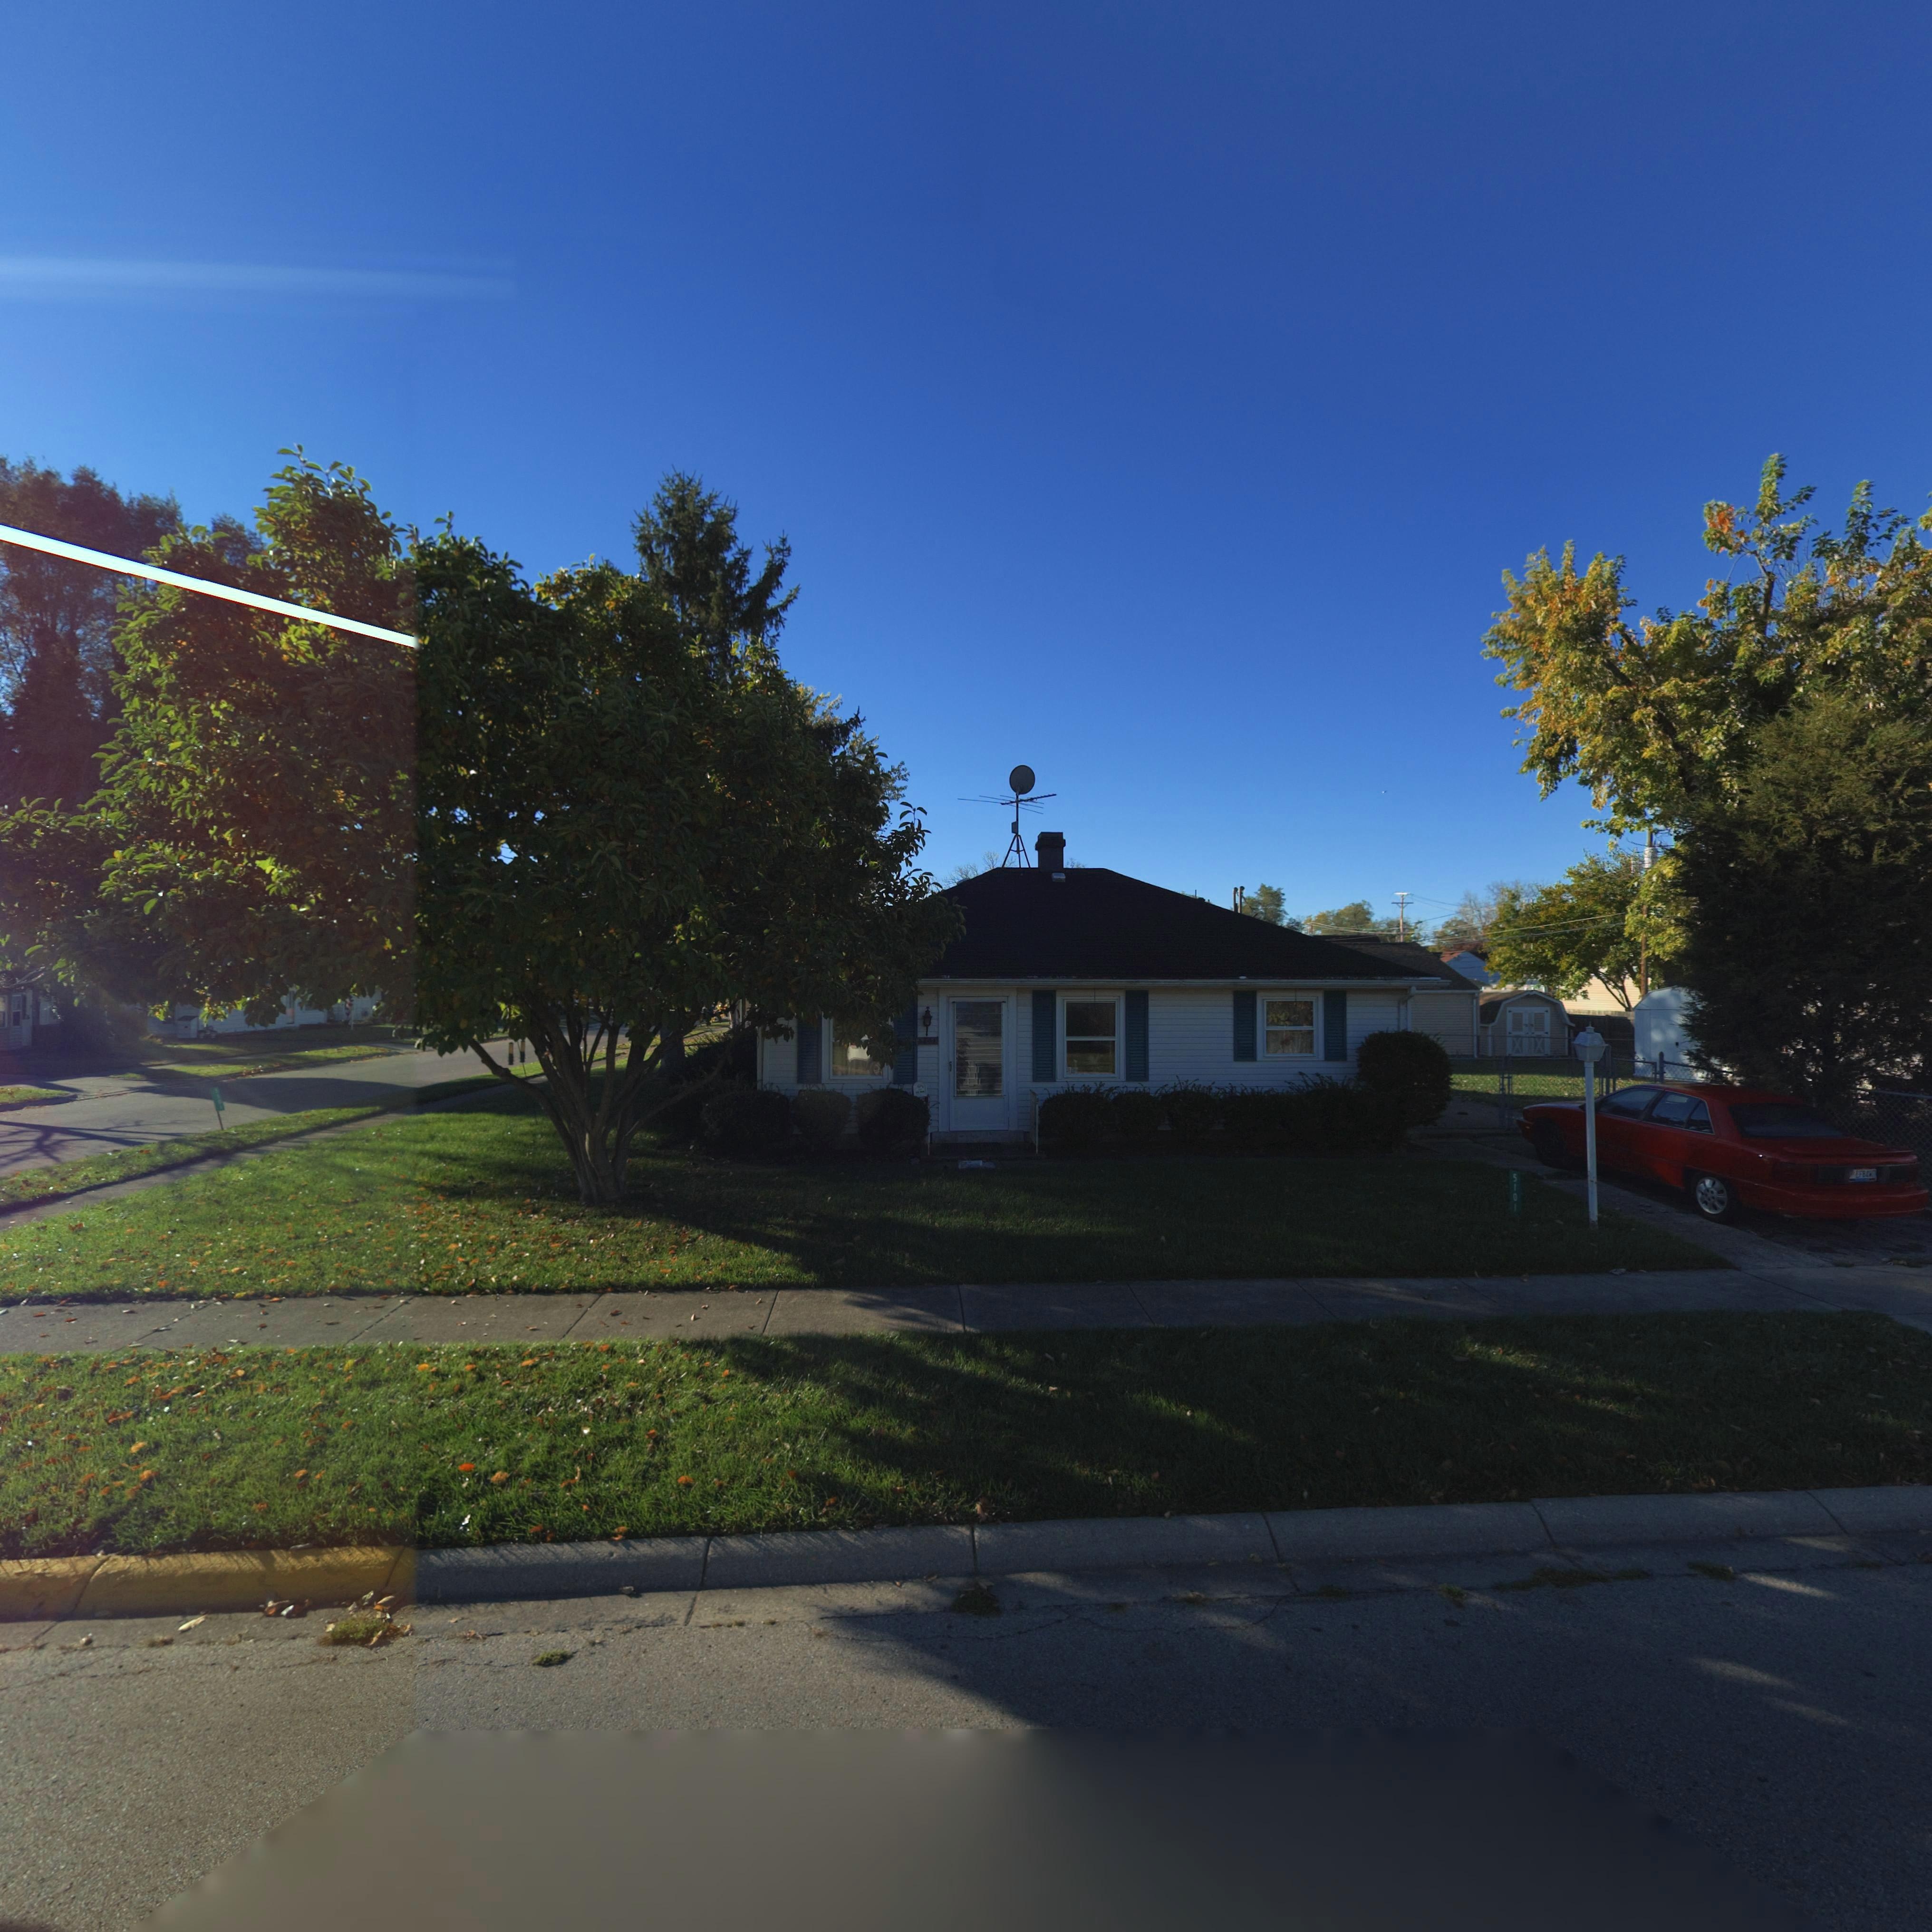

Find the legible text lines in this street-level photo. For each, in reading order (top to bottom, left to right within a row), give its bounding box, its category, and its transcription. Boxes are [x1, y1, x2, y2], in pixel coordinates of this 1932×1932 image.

[918, 1037, 936, 1045] StreetNumber: 5*01
[213, 1087, 224, 1111] StreetNumber: 5101
[1511, 1173, 1518, 1213] StreetNumber: 5101